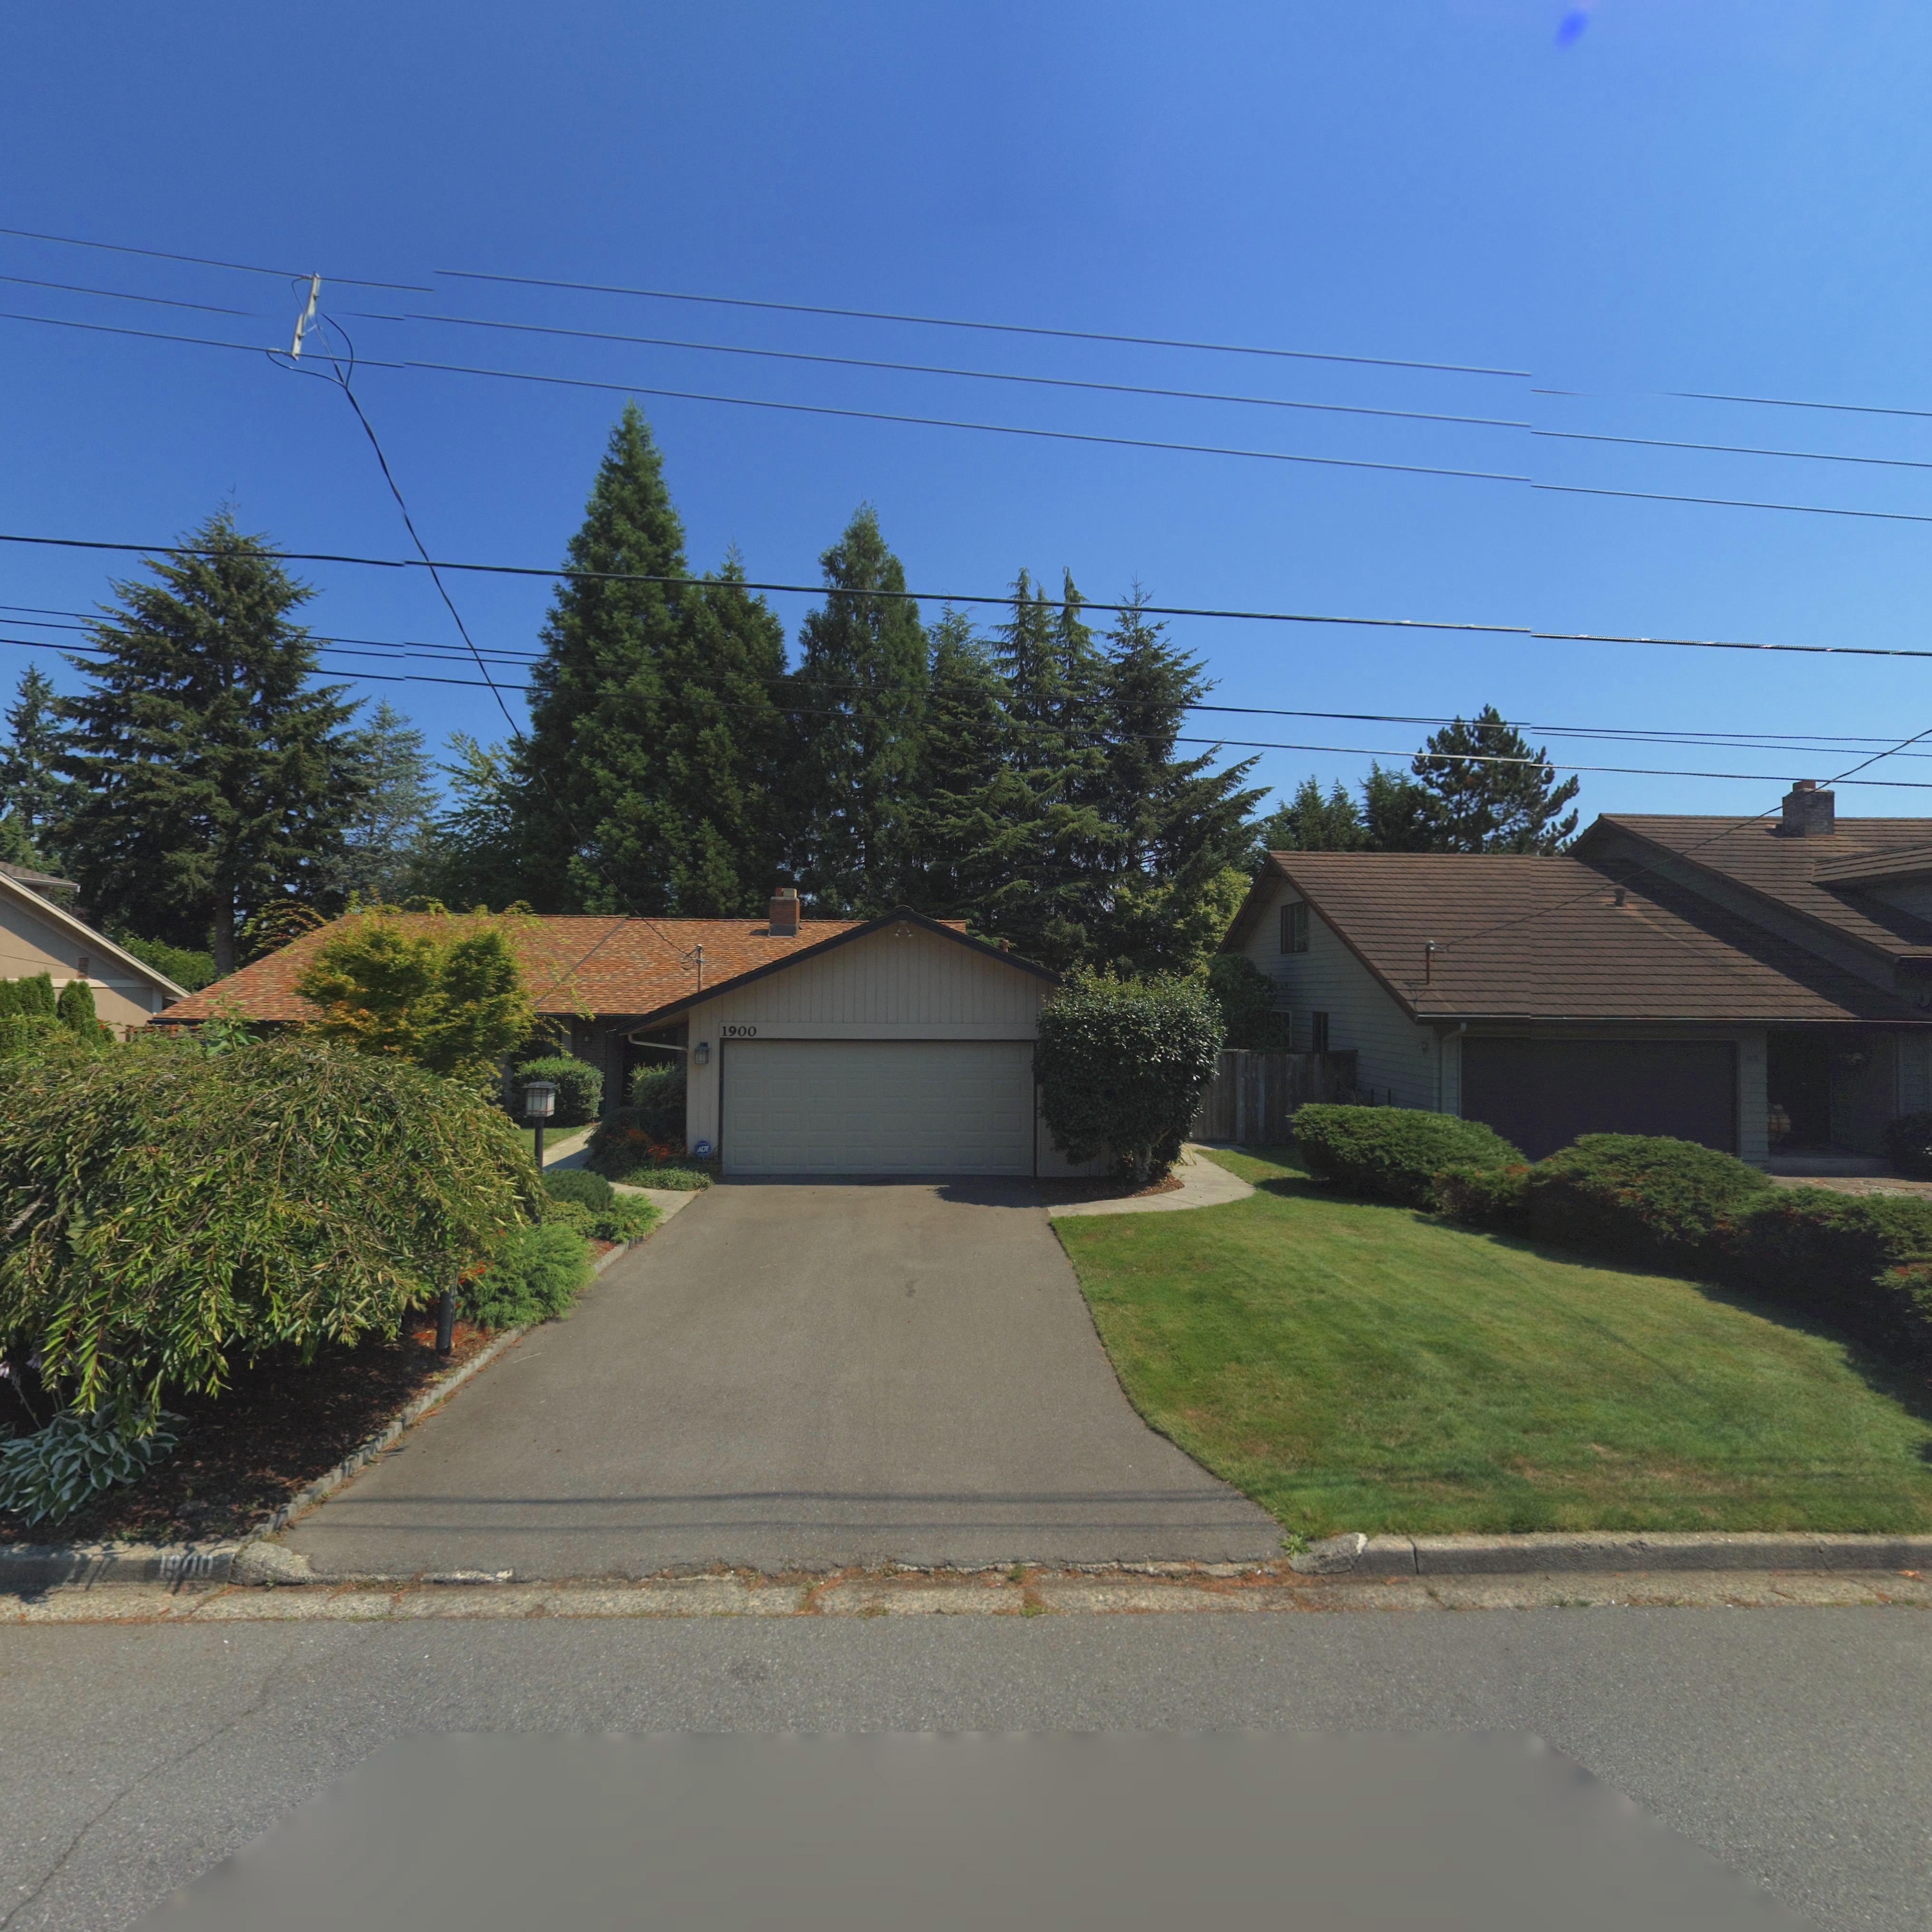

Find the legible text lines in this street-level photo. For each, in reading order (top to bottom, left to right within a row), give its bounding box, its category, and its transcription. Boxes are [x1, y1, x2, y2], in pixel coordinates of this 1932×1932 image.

[721, 1025, 756, 1037] StreetNumber: 1900
[157, 1554, 215, 1578] StreetNumber: 1900